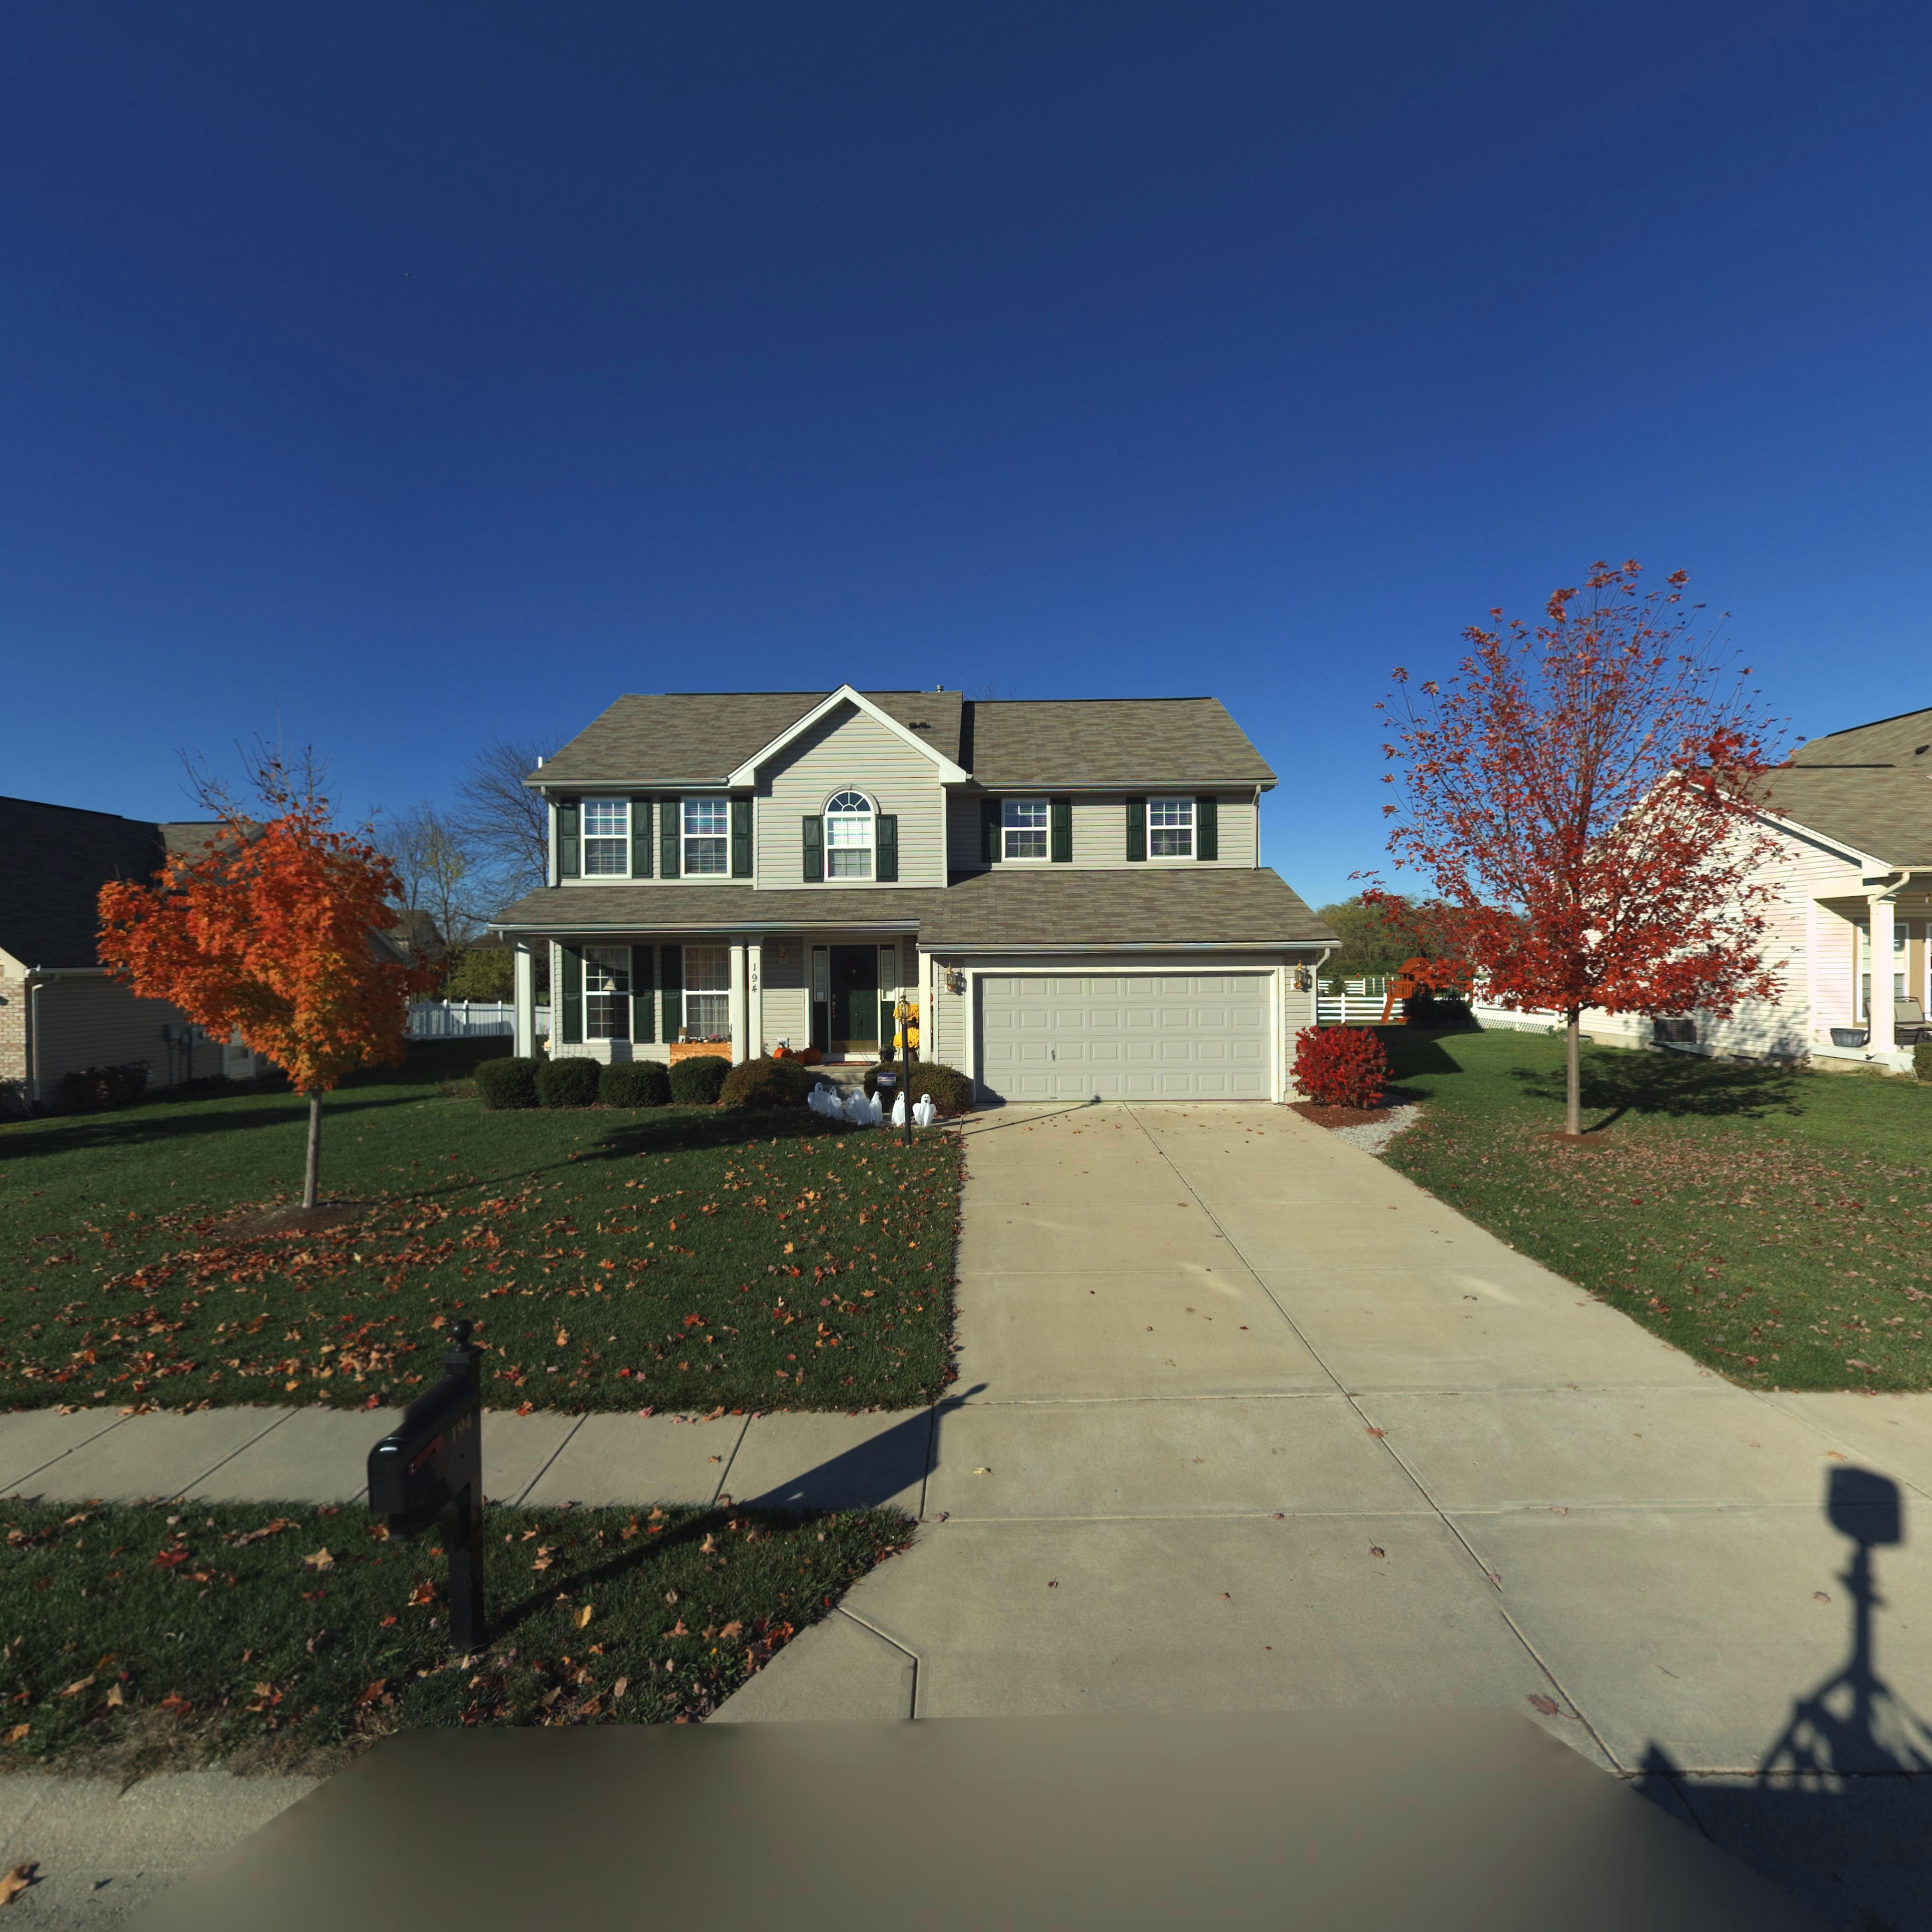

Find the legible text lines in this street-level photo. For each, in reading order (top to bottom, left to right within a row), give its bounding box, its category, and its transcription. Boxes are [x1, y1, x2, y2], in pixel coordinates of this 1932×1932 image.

[750, 962, 758, 994] StreetNumber: 194
[450, 1410, 473, 1446] StreetNumber: 194